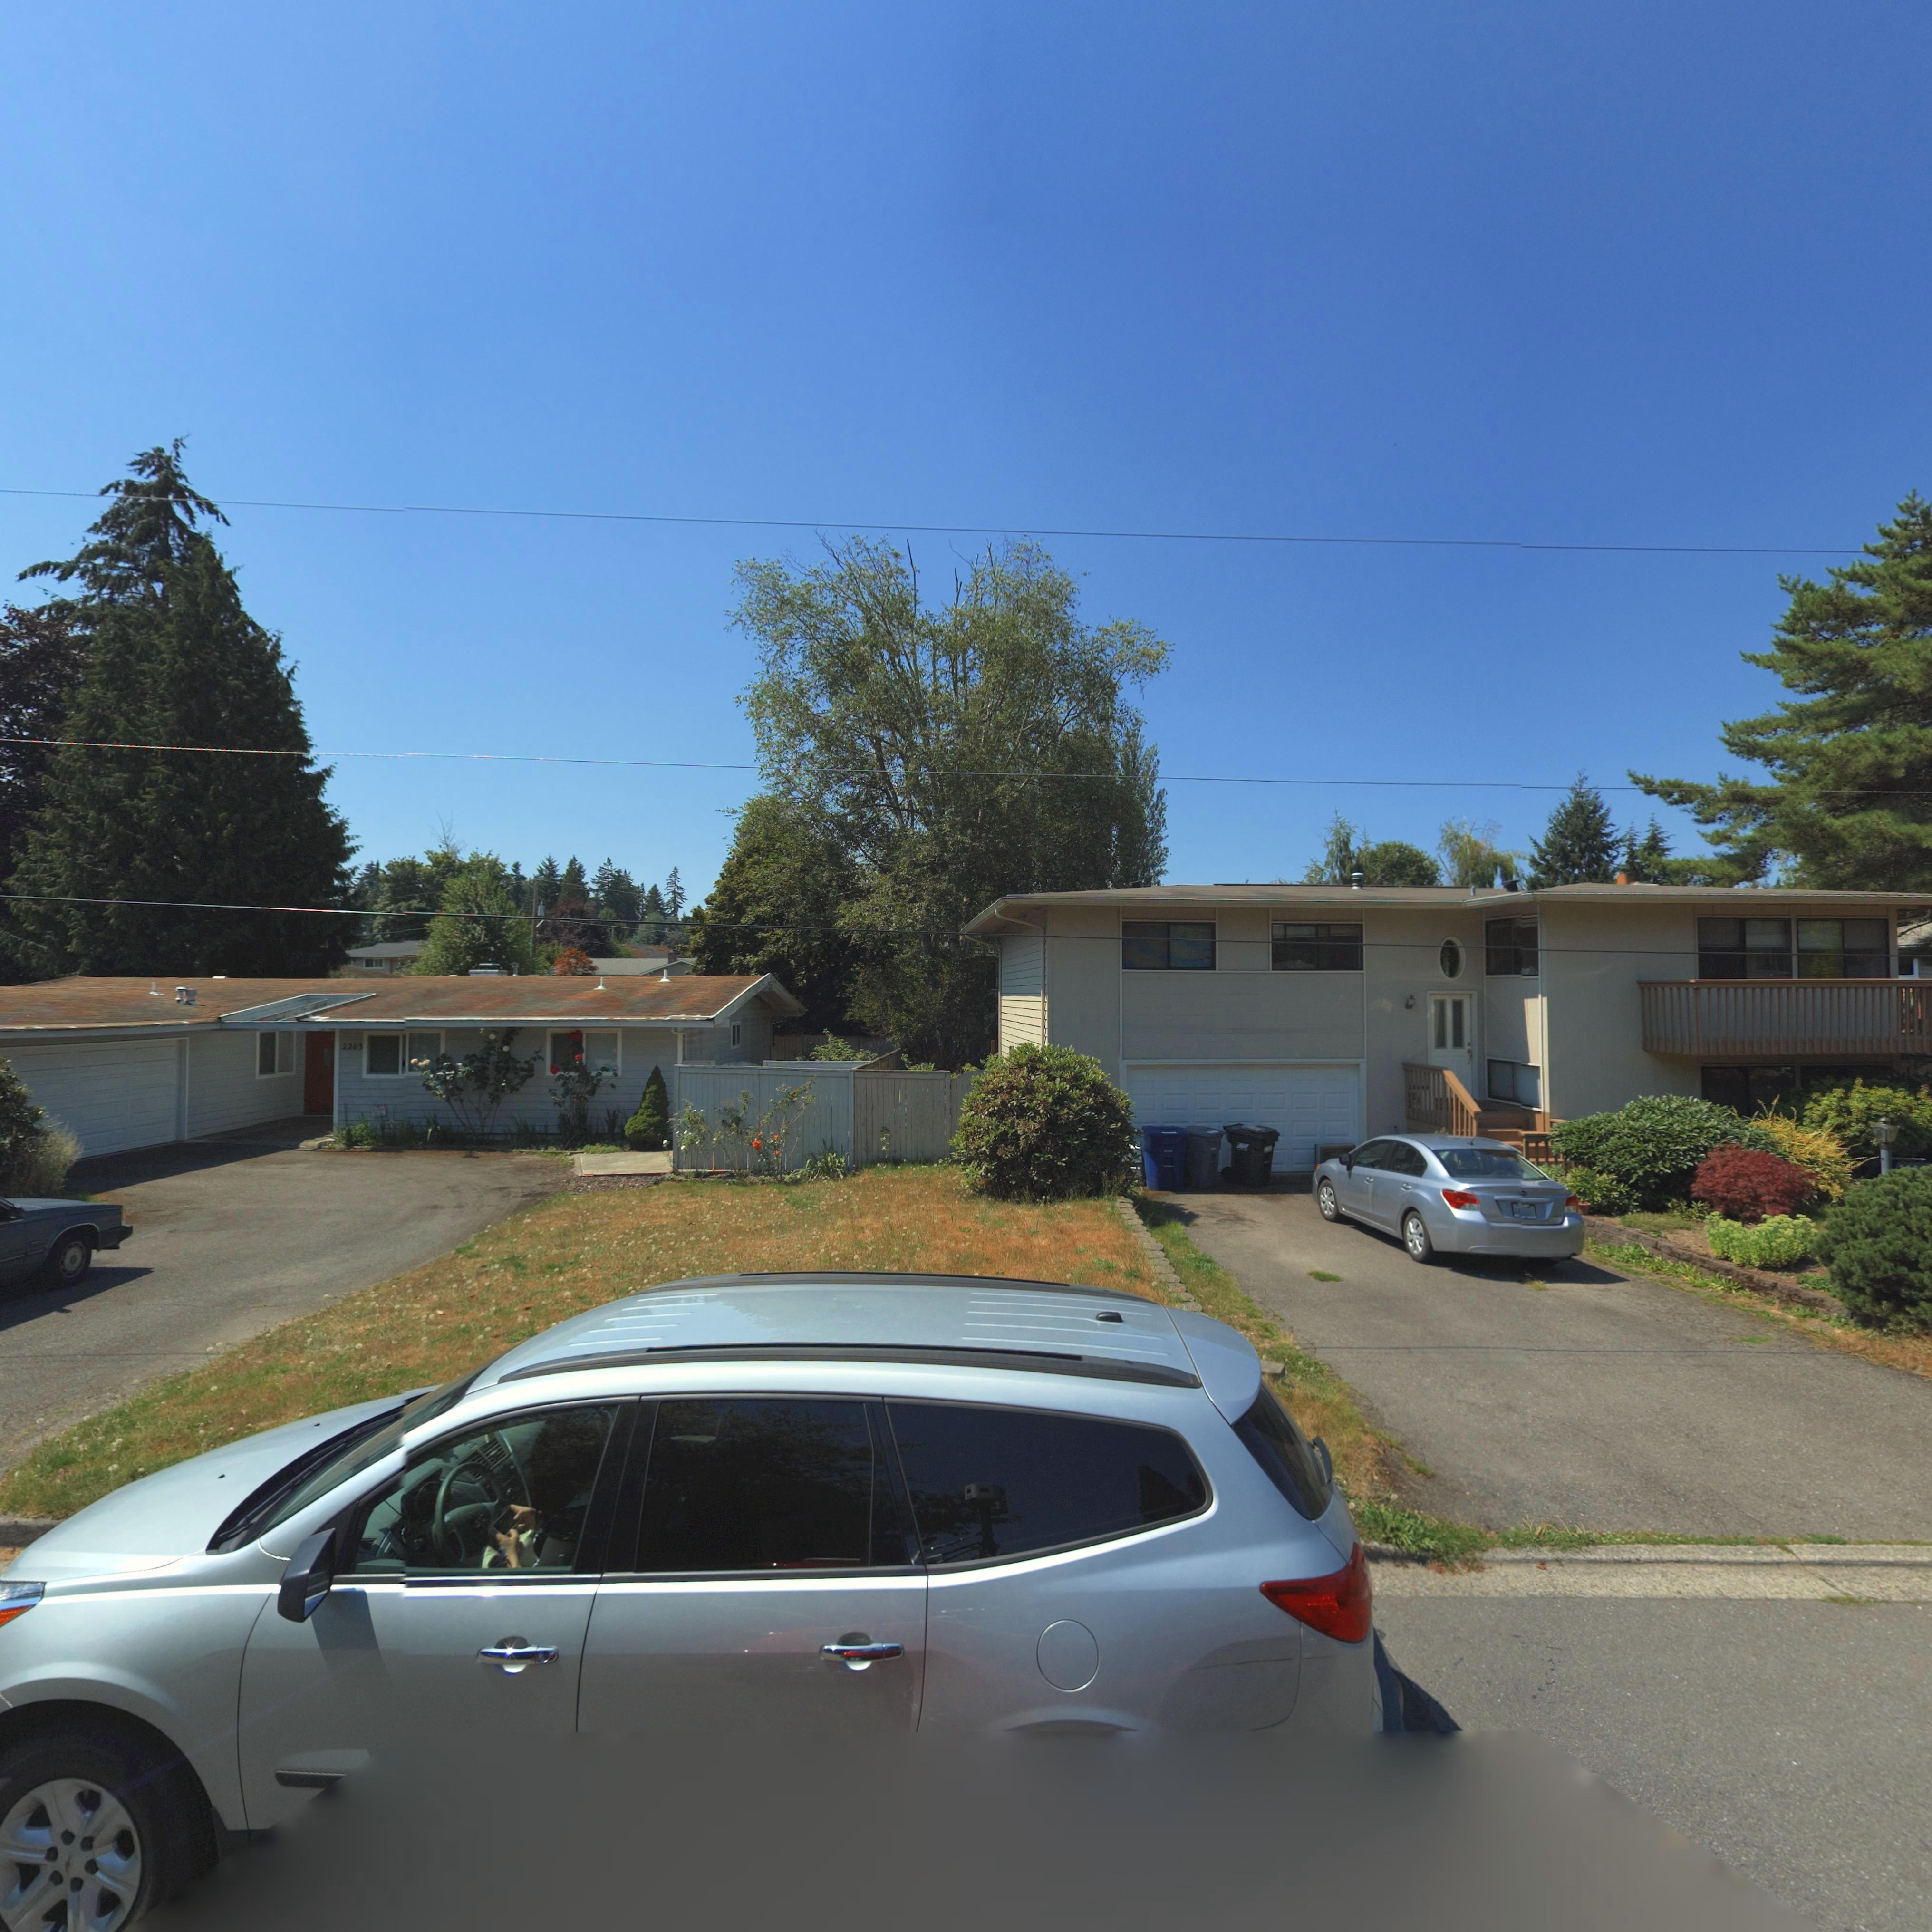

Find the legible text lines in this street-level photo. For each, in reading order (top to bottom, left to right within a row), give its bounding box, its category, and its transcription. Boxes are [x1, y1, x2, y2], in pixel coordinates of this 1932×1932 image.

[342, 1043, 363, 1050] StreetNumber: 2203